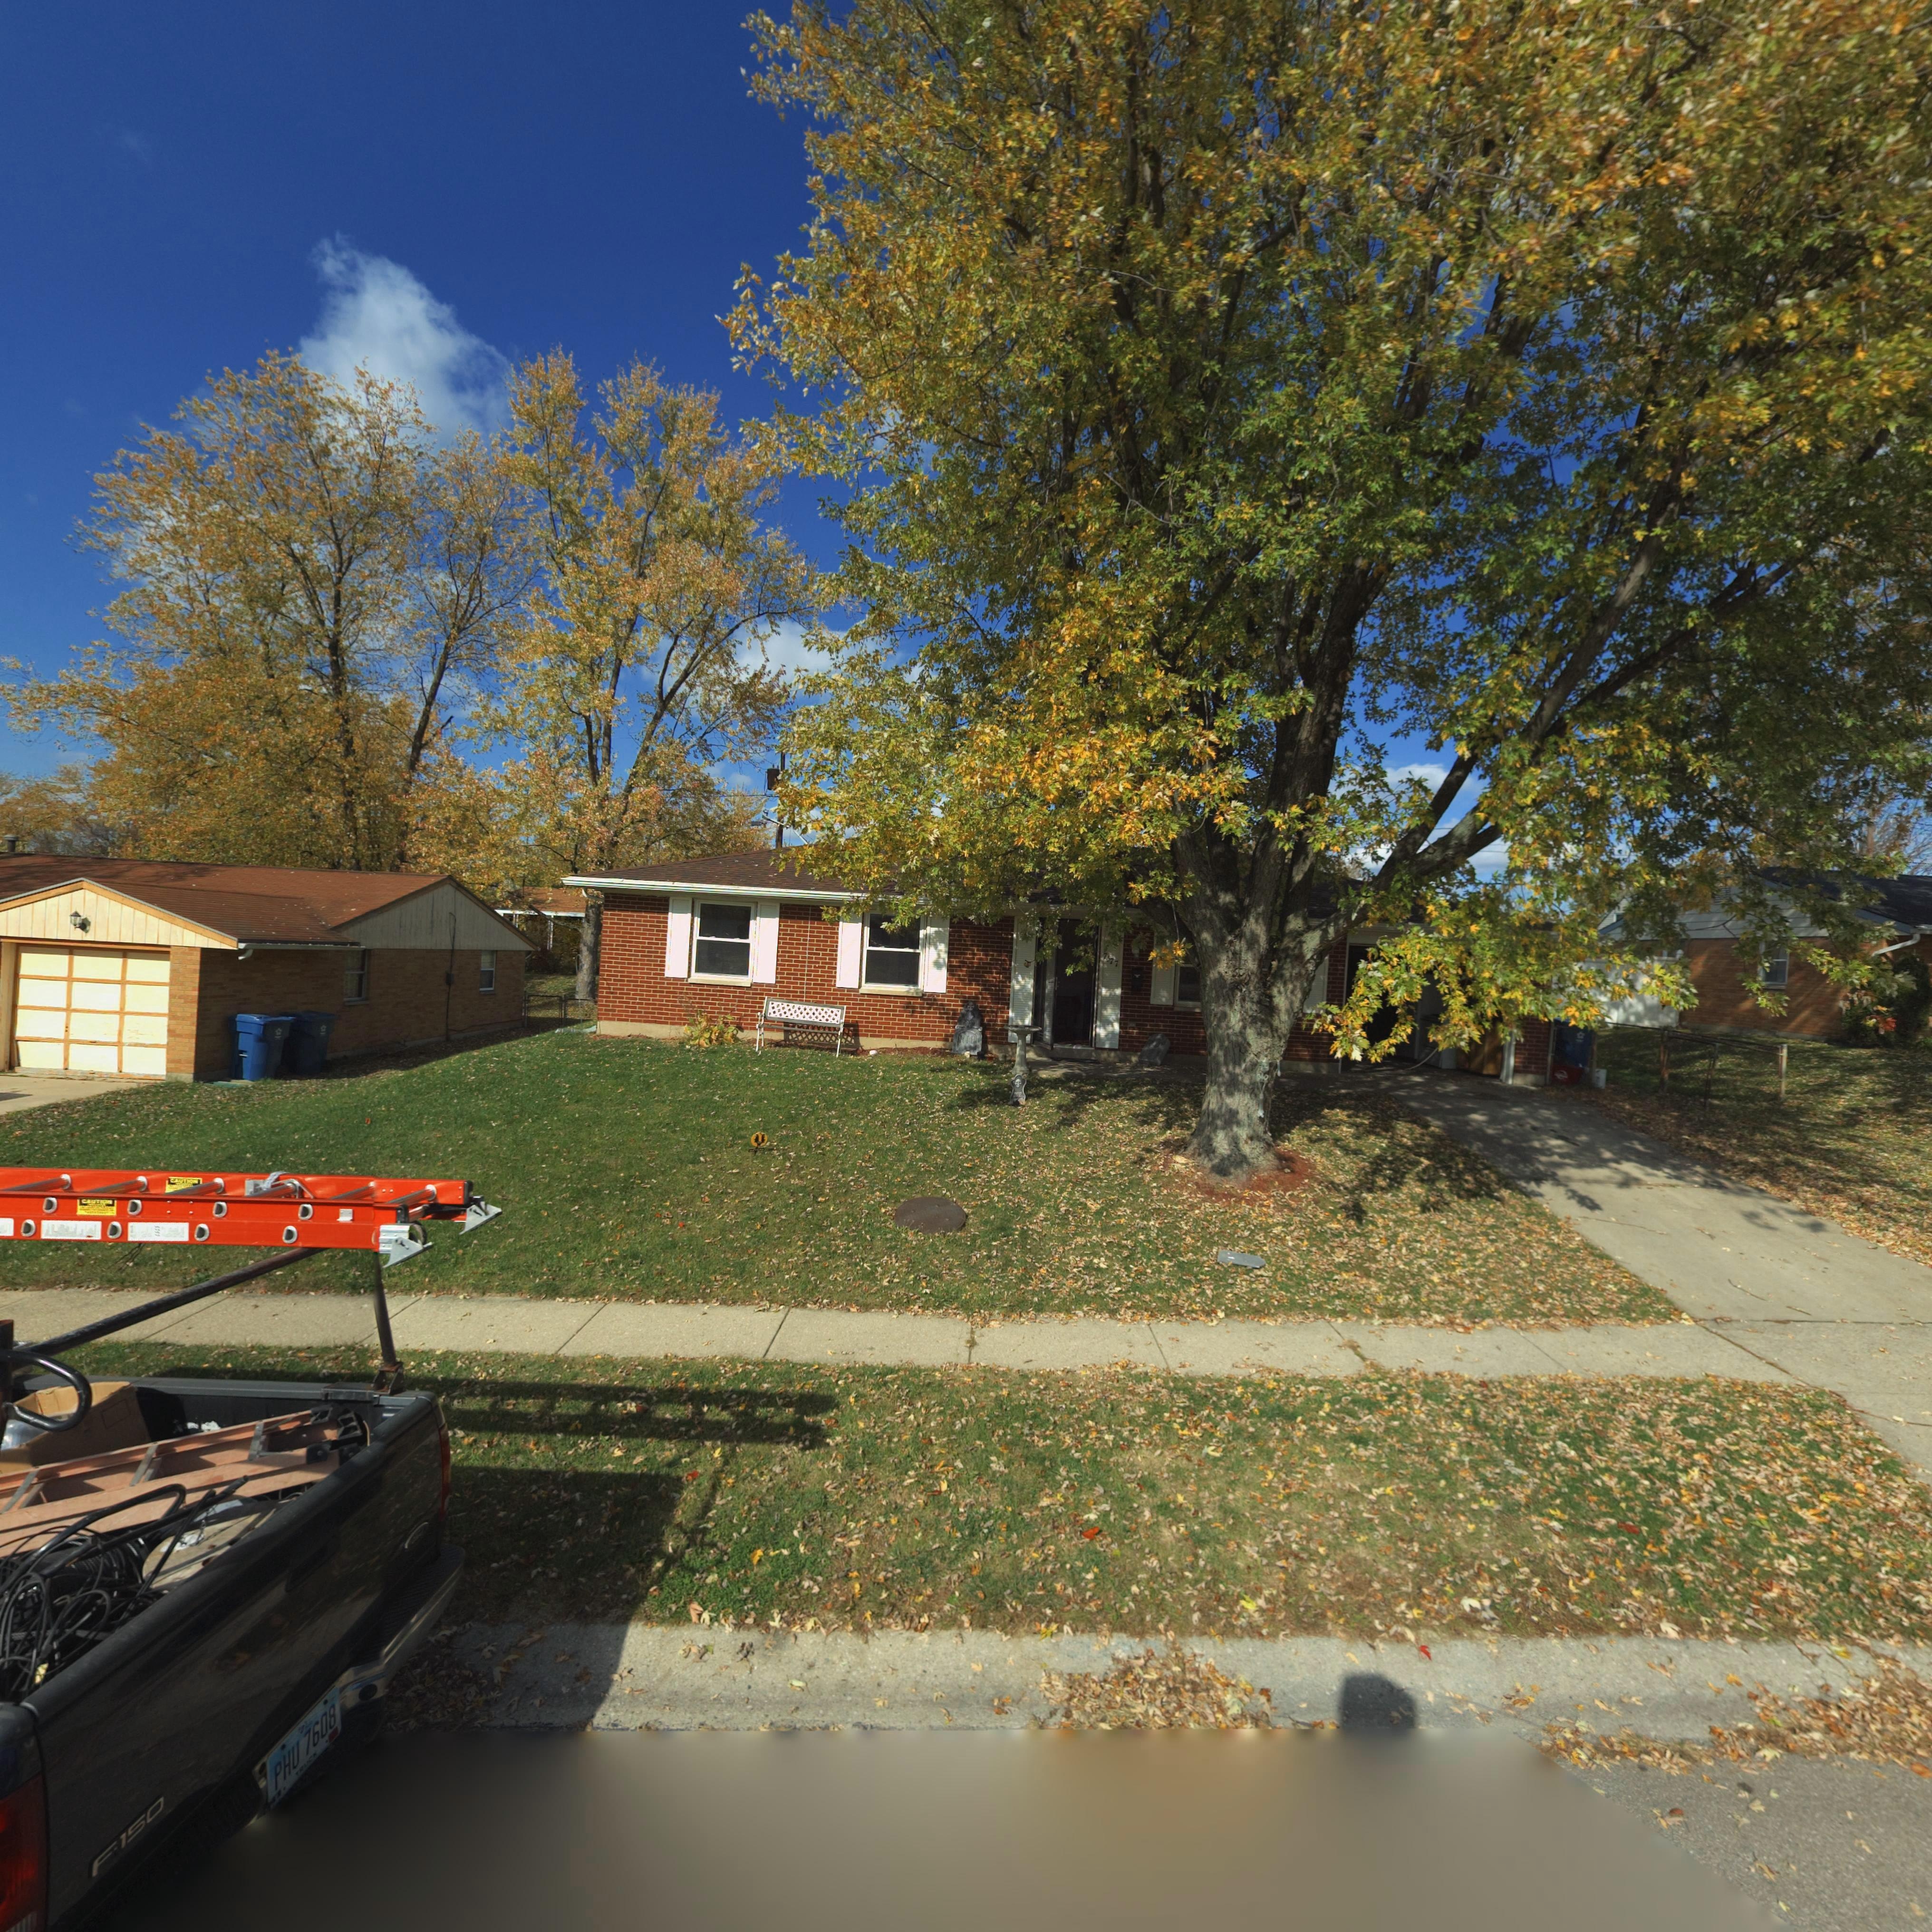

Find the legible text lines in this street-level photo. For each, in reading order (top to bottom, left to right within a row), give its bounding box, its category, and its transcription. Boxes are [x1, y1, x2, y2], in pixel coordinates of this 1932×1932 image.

[1103, 952, 1119, 967] StreetNumber: 7577